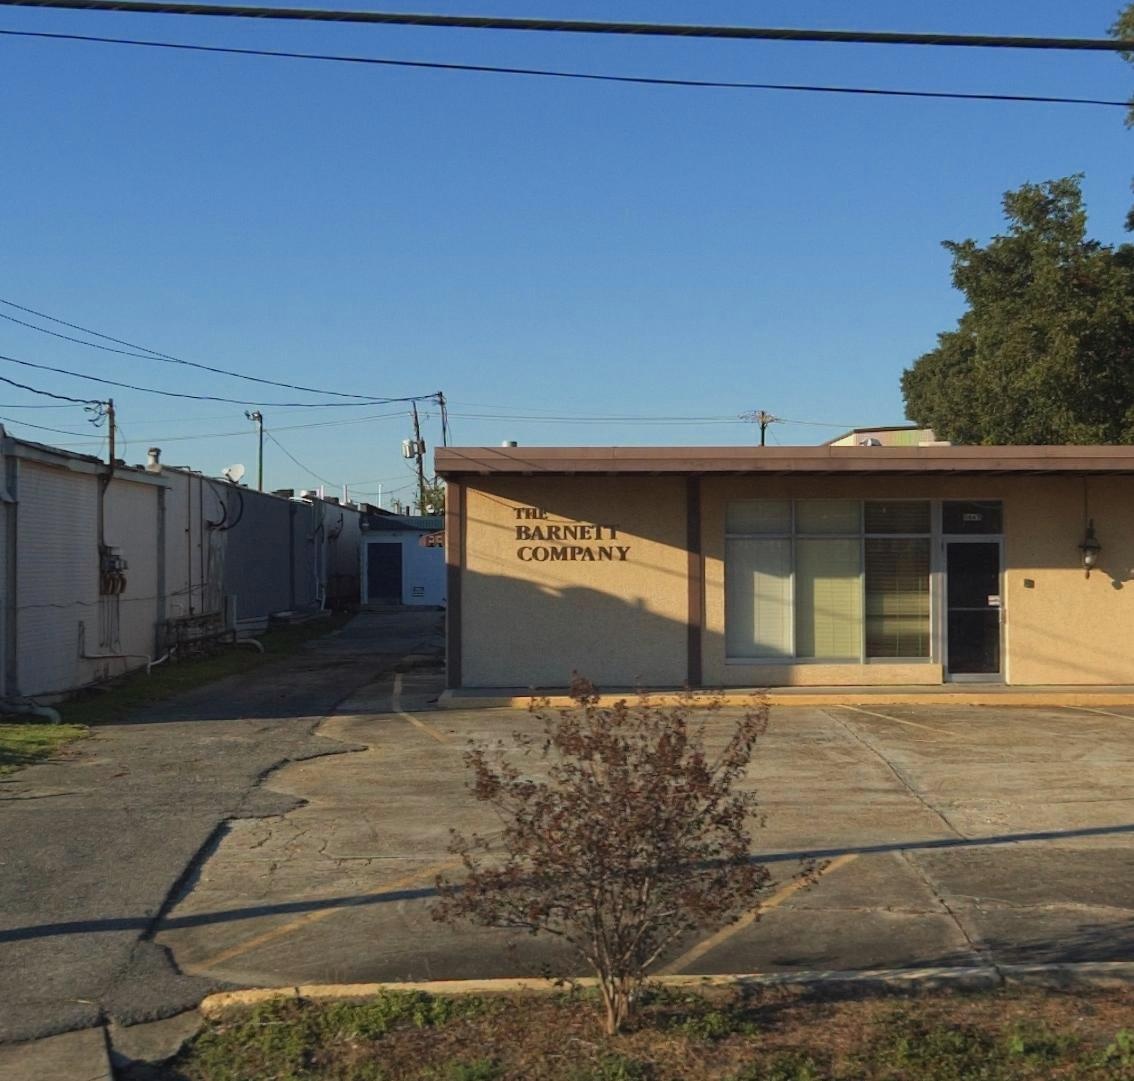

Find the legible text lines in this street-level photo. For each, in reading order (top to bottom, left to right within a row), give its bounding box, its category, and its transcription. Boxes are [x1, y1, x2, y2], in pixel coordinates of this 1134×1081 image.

[513, 507, 548, 521] BusinessName: THE
[515, 525, 621, 541] BusinessName: BARNETT
[516, 545, 632, 562] BusinessName: COMPANY